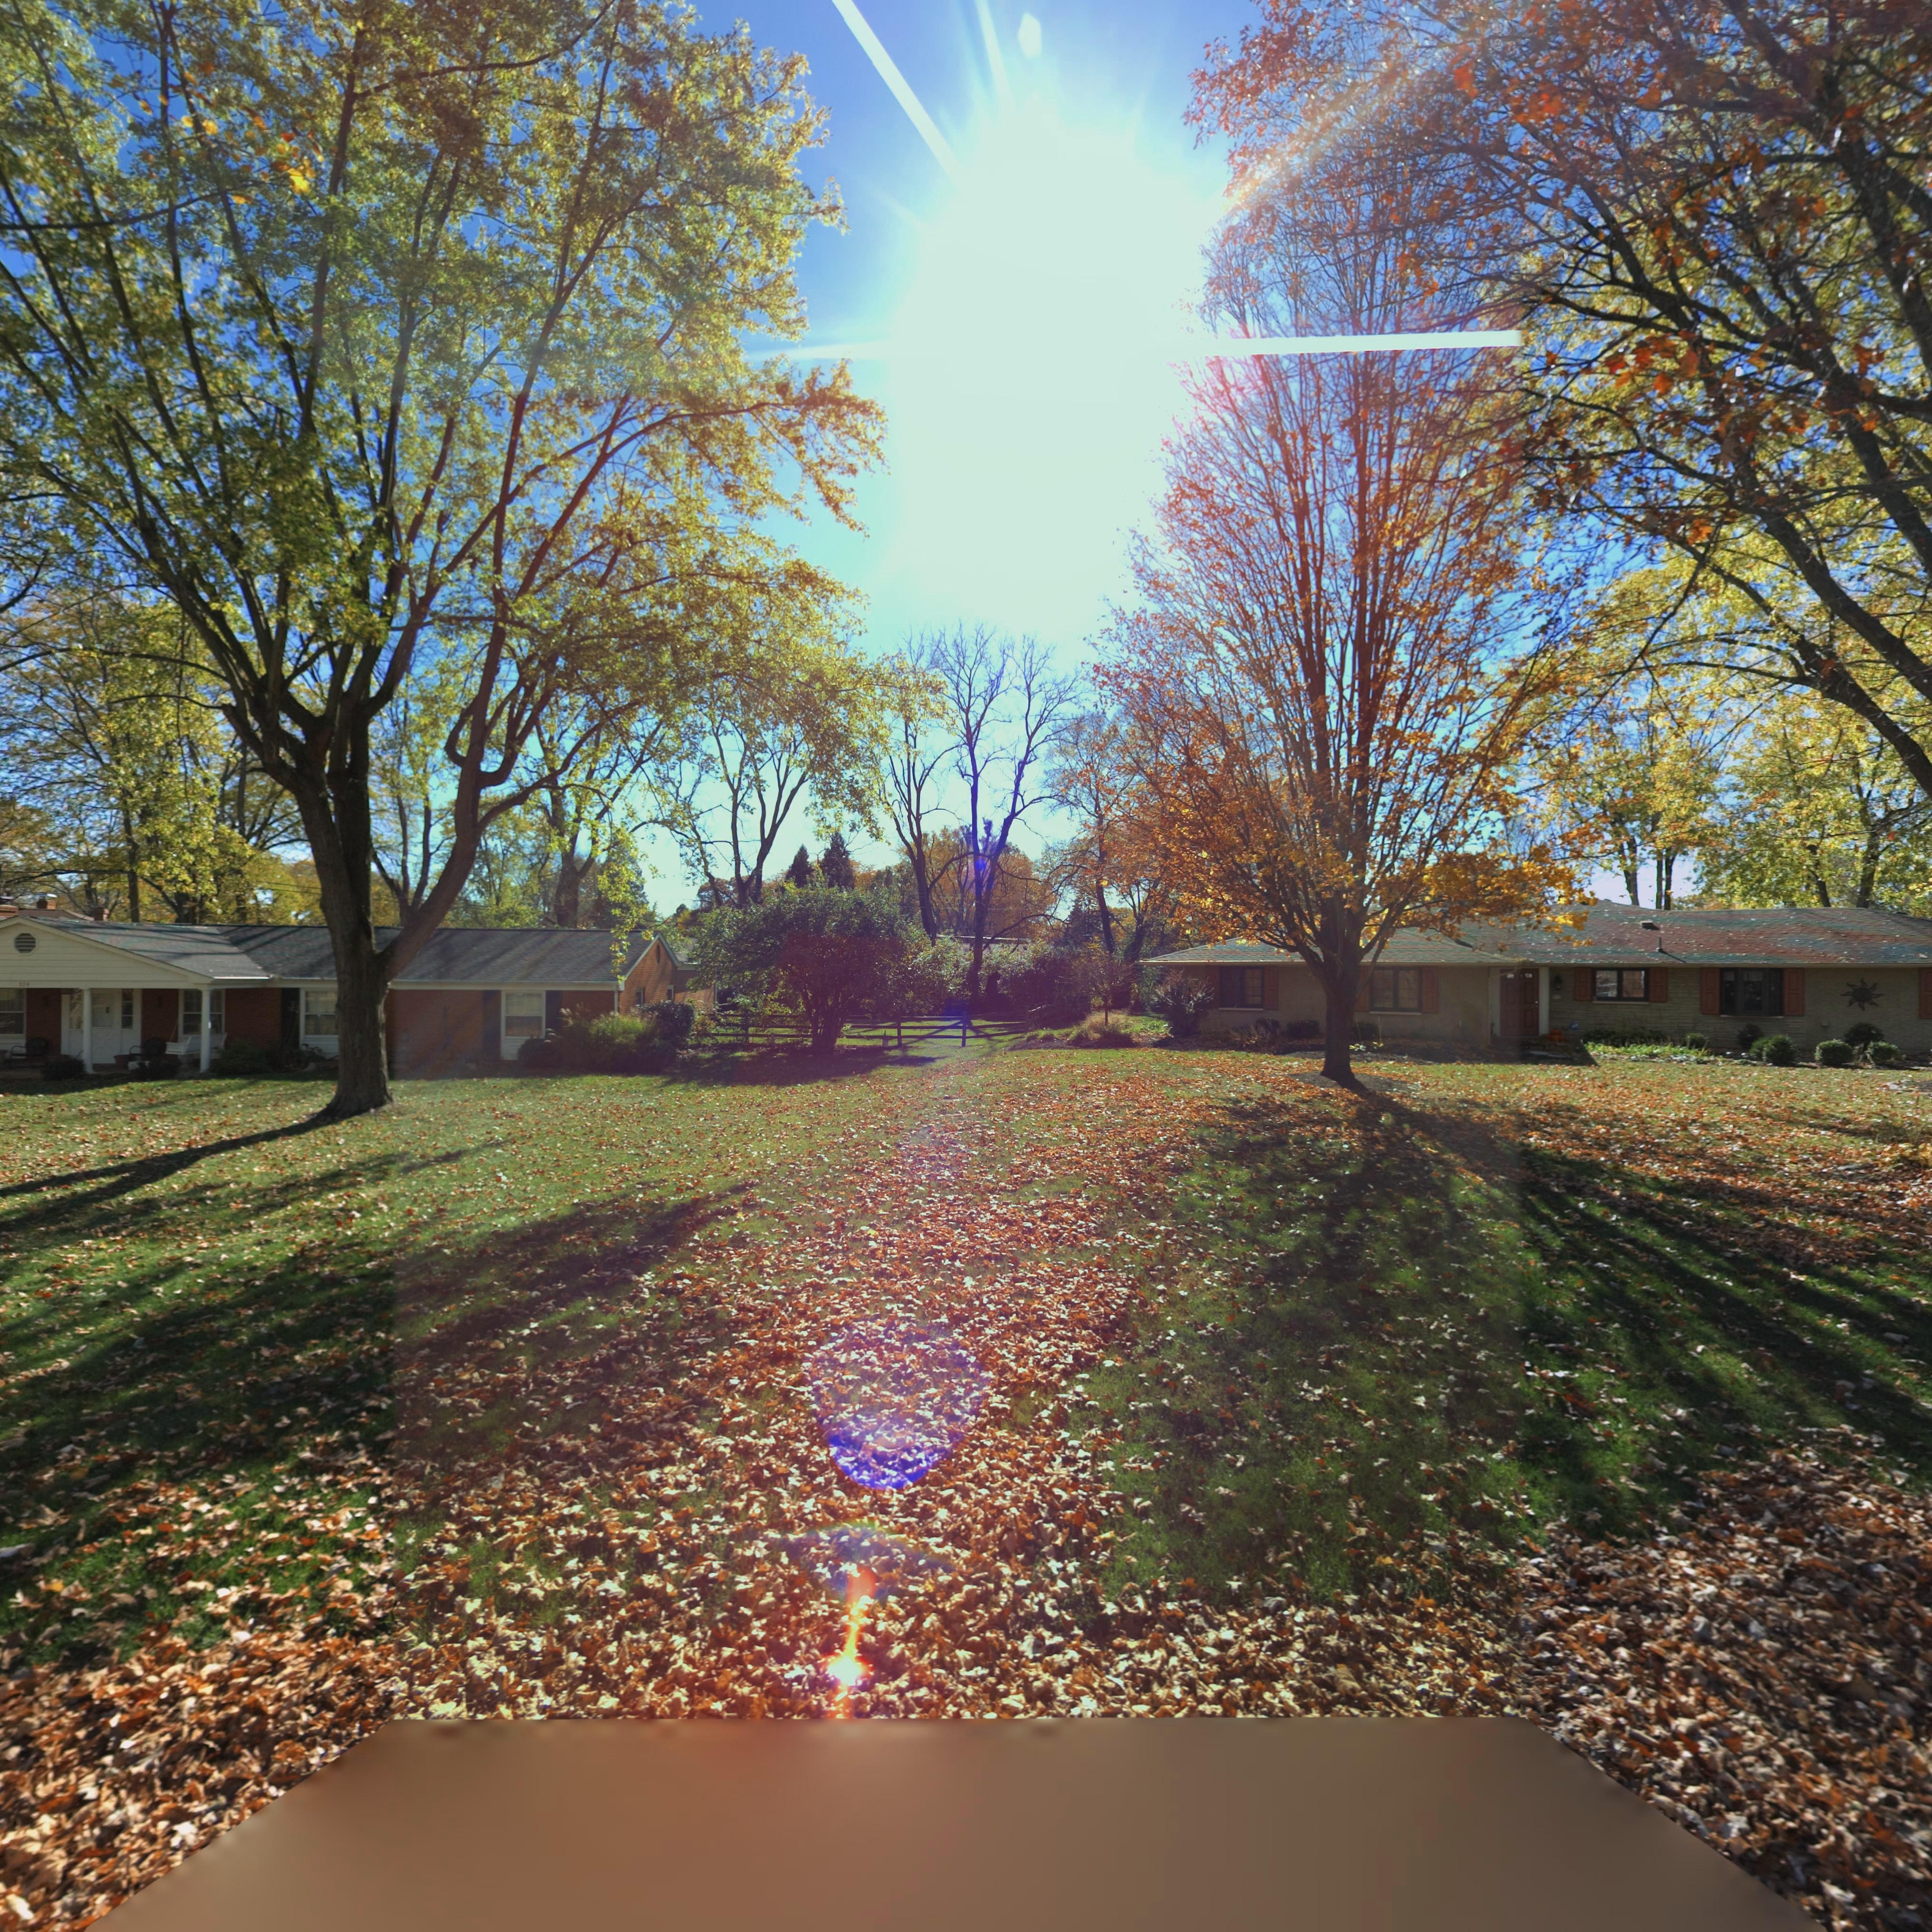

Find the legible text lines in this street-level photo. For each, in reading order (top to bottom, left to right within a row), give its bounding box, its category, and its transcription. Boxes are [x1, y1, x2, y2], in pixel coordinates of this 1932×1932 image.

[18, 982, 30, 987] StreetNumber: 374